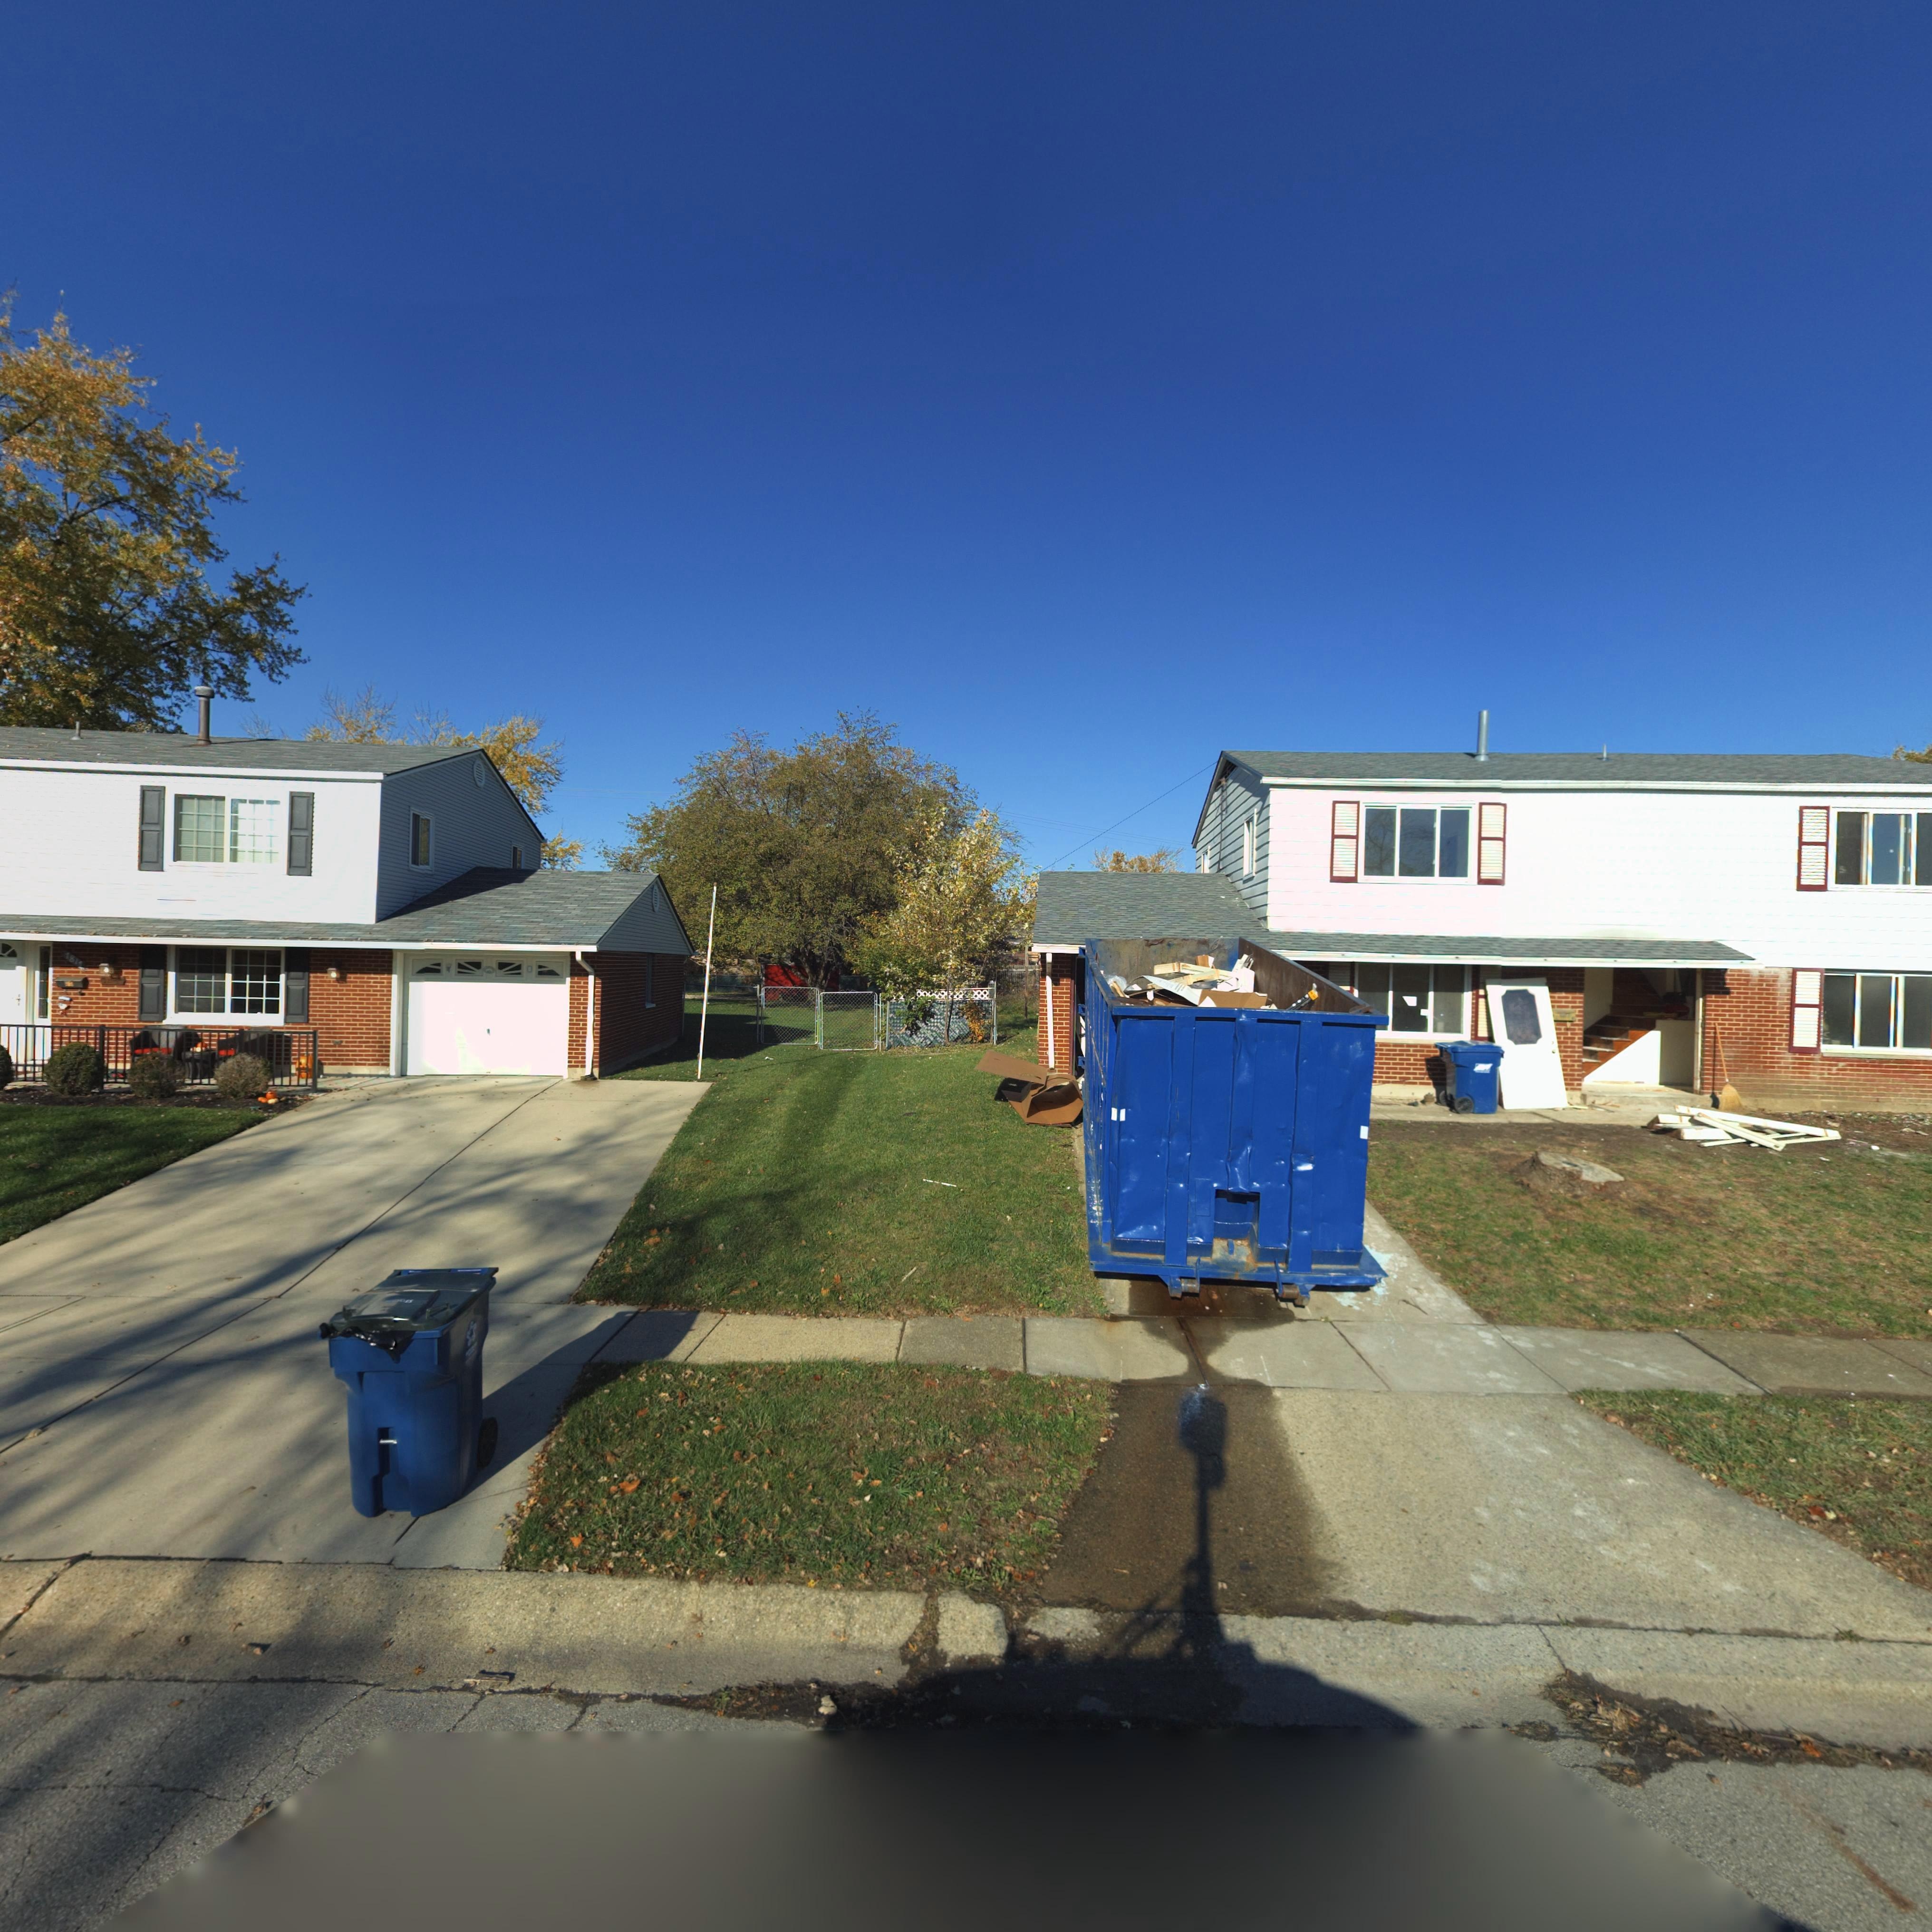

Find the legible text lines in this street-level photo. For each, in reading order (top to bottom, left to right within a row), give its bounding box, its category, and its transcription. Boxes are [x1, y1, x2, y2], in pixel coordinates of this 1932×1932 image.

[64, 950, 84, 969] StreetNumber: 781*